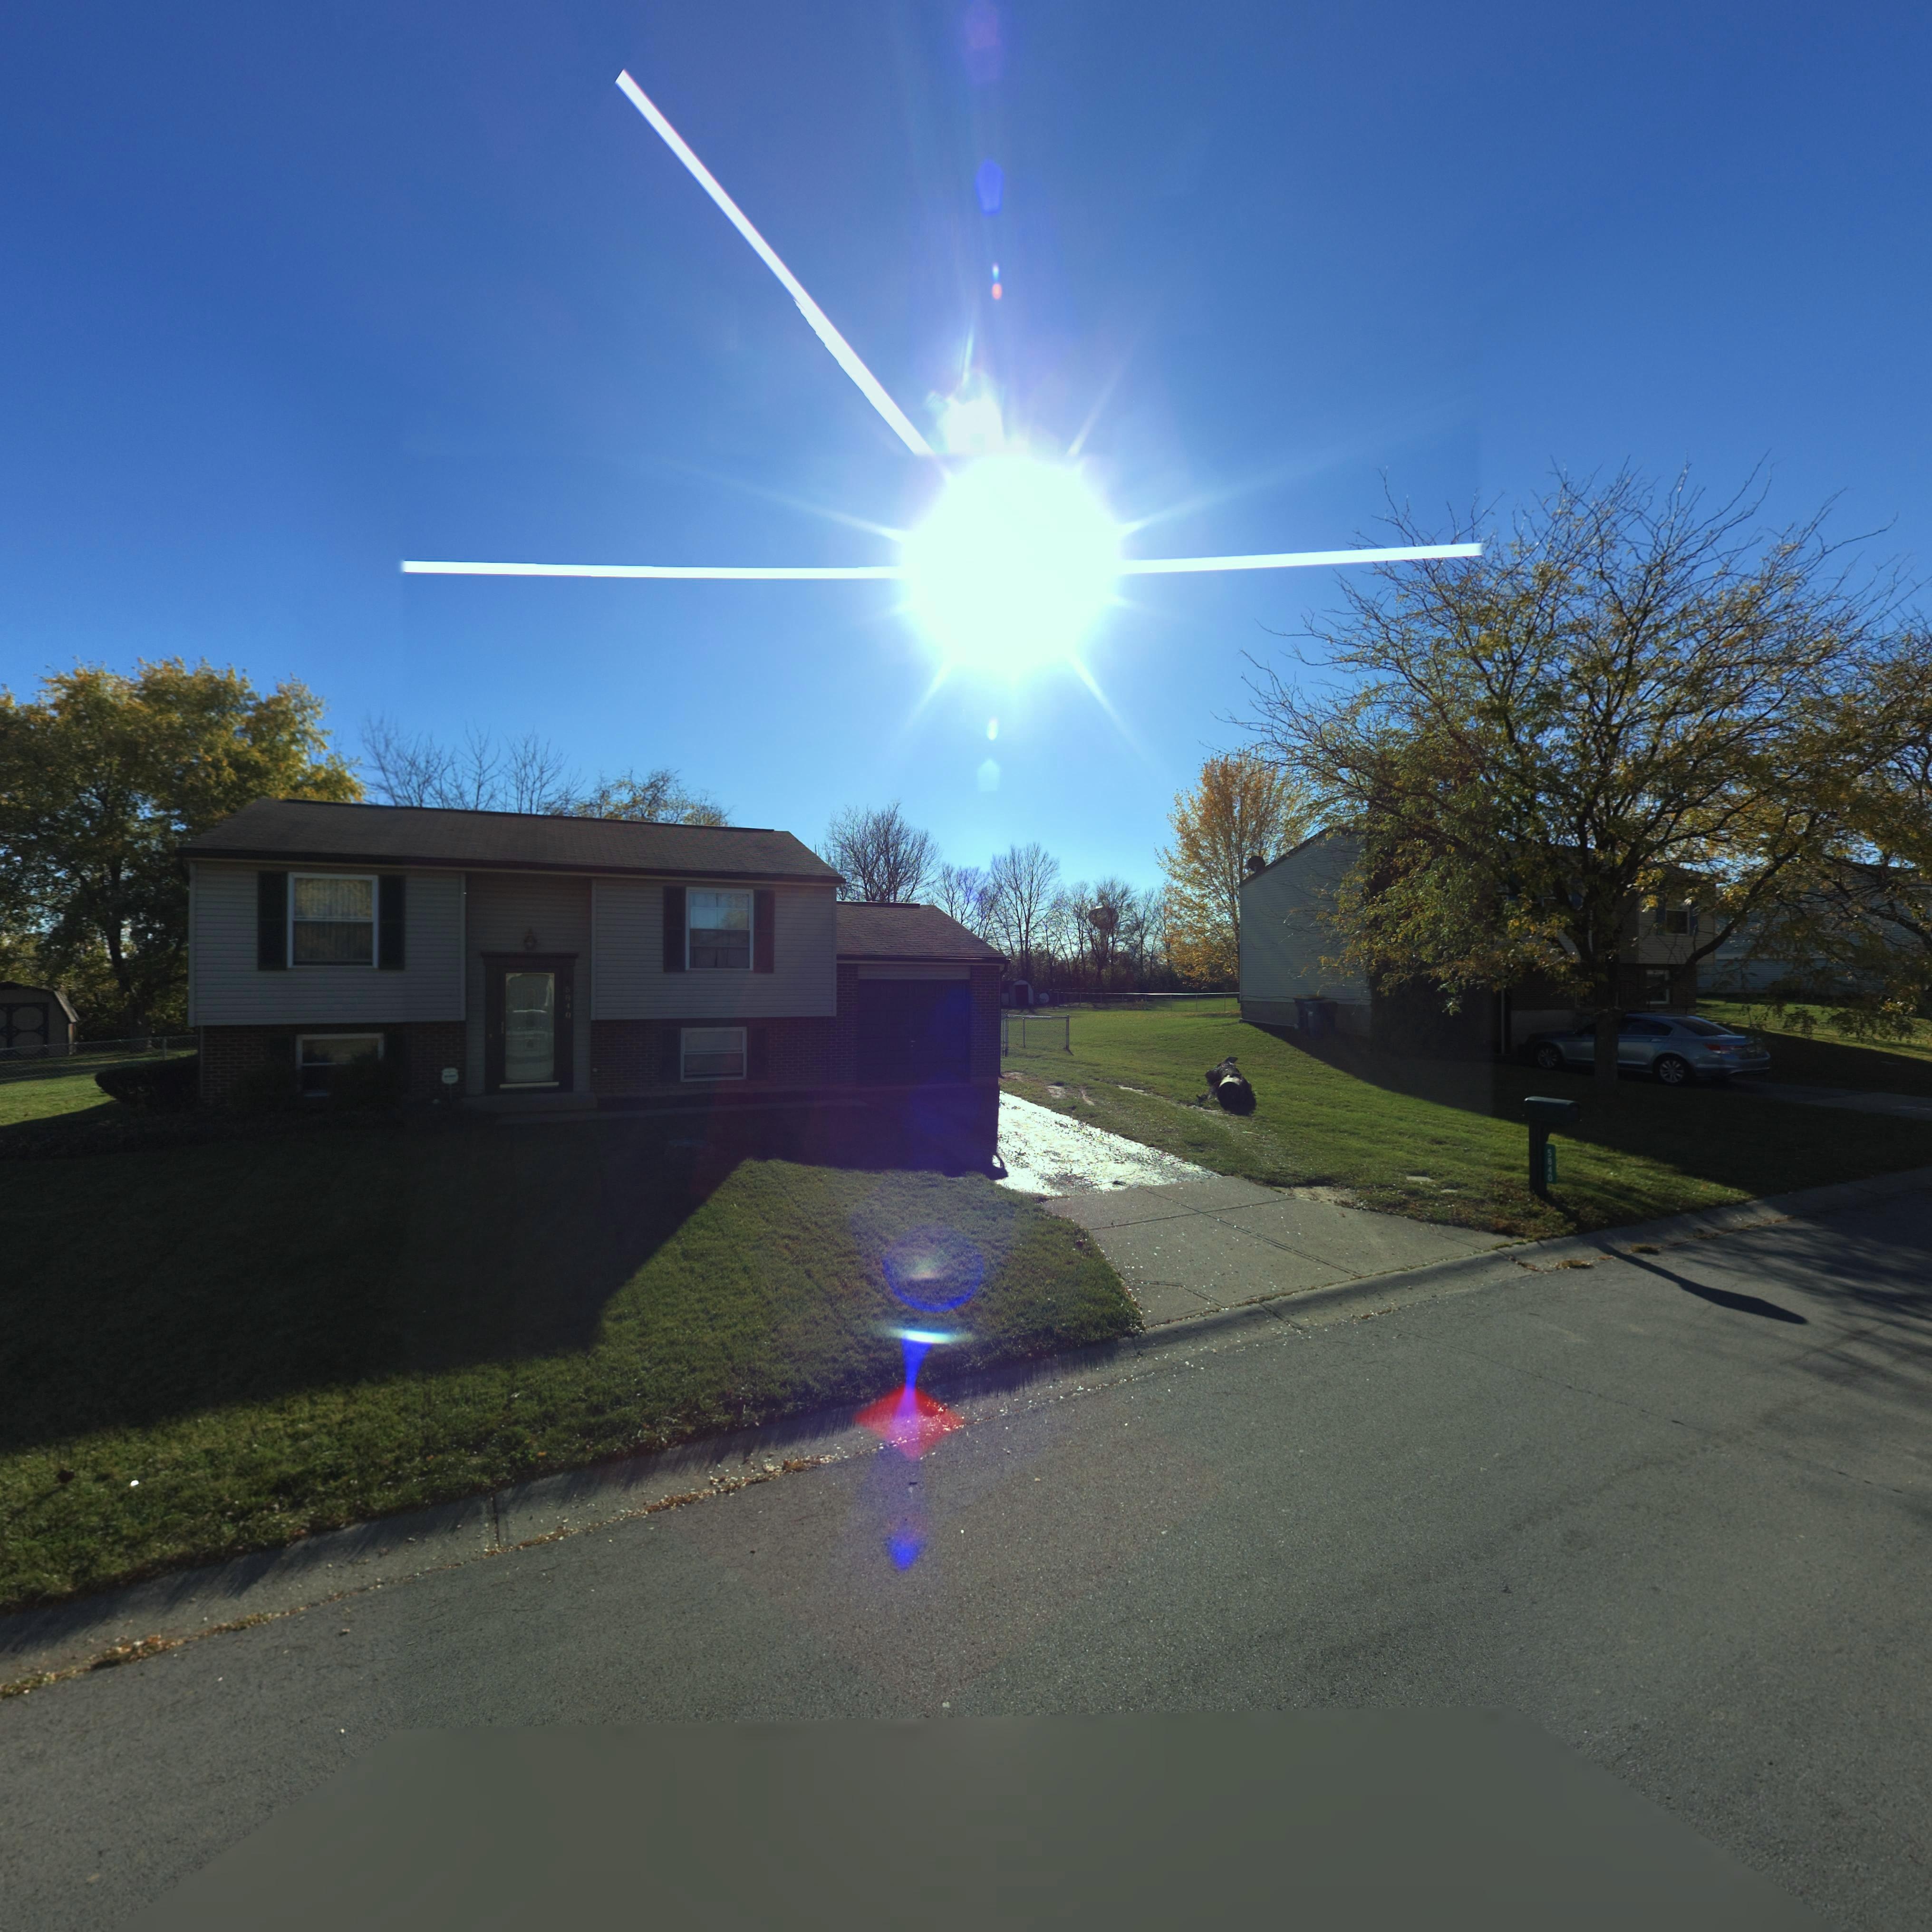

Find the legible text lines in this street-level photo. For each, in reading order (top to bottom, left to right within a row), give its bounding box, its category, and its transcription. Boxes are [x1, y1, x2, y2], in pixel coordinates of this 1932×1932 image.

[563, 985, 573, 1020] StreetNumber: 5840
[1546, 1148, 1554, 1183] StreetNumber: 5840